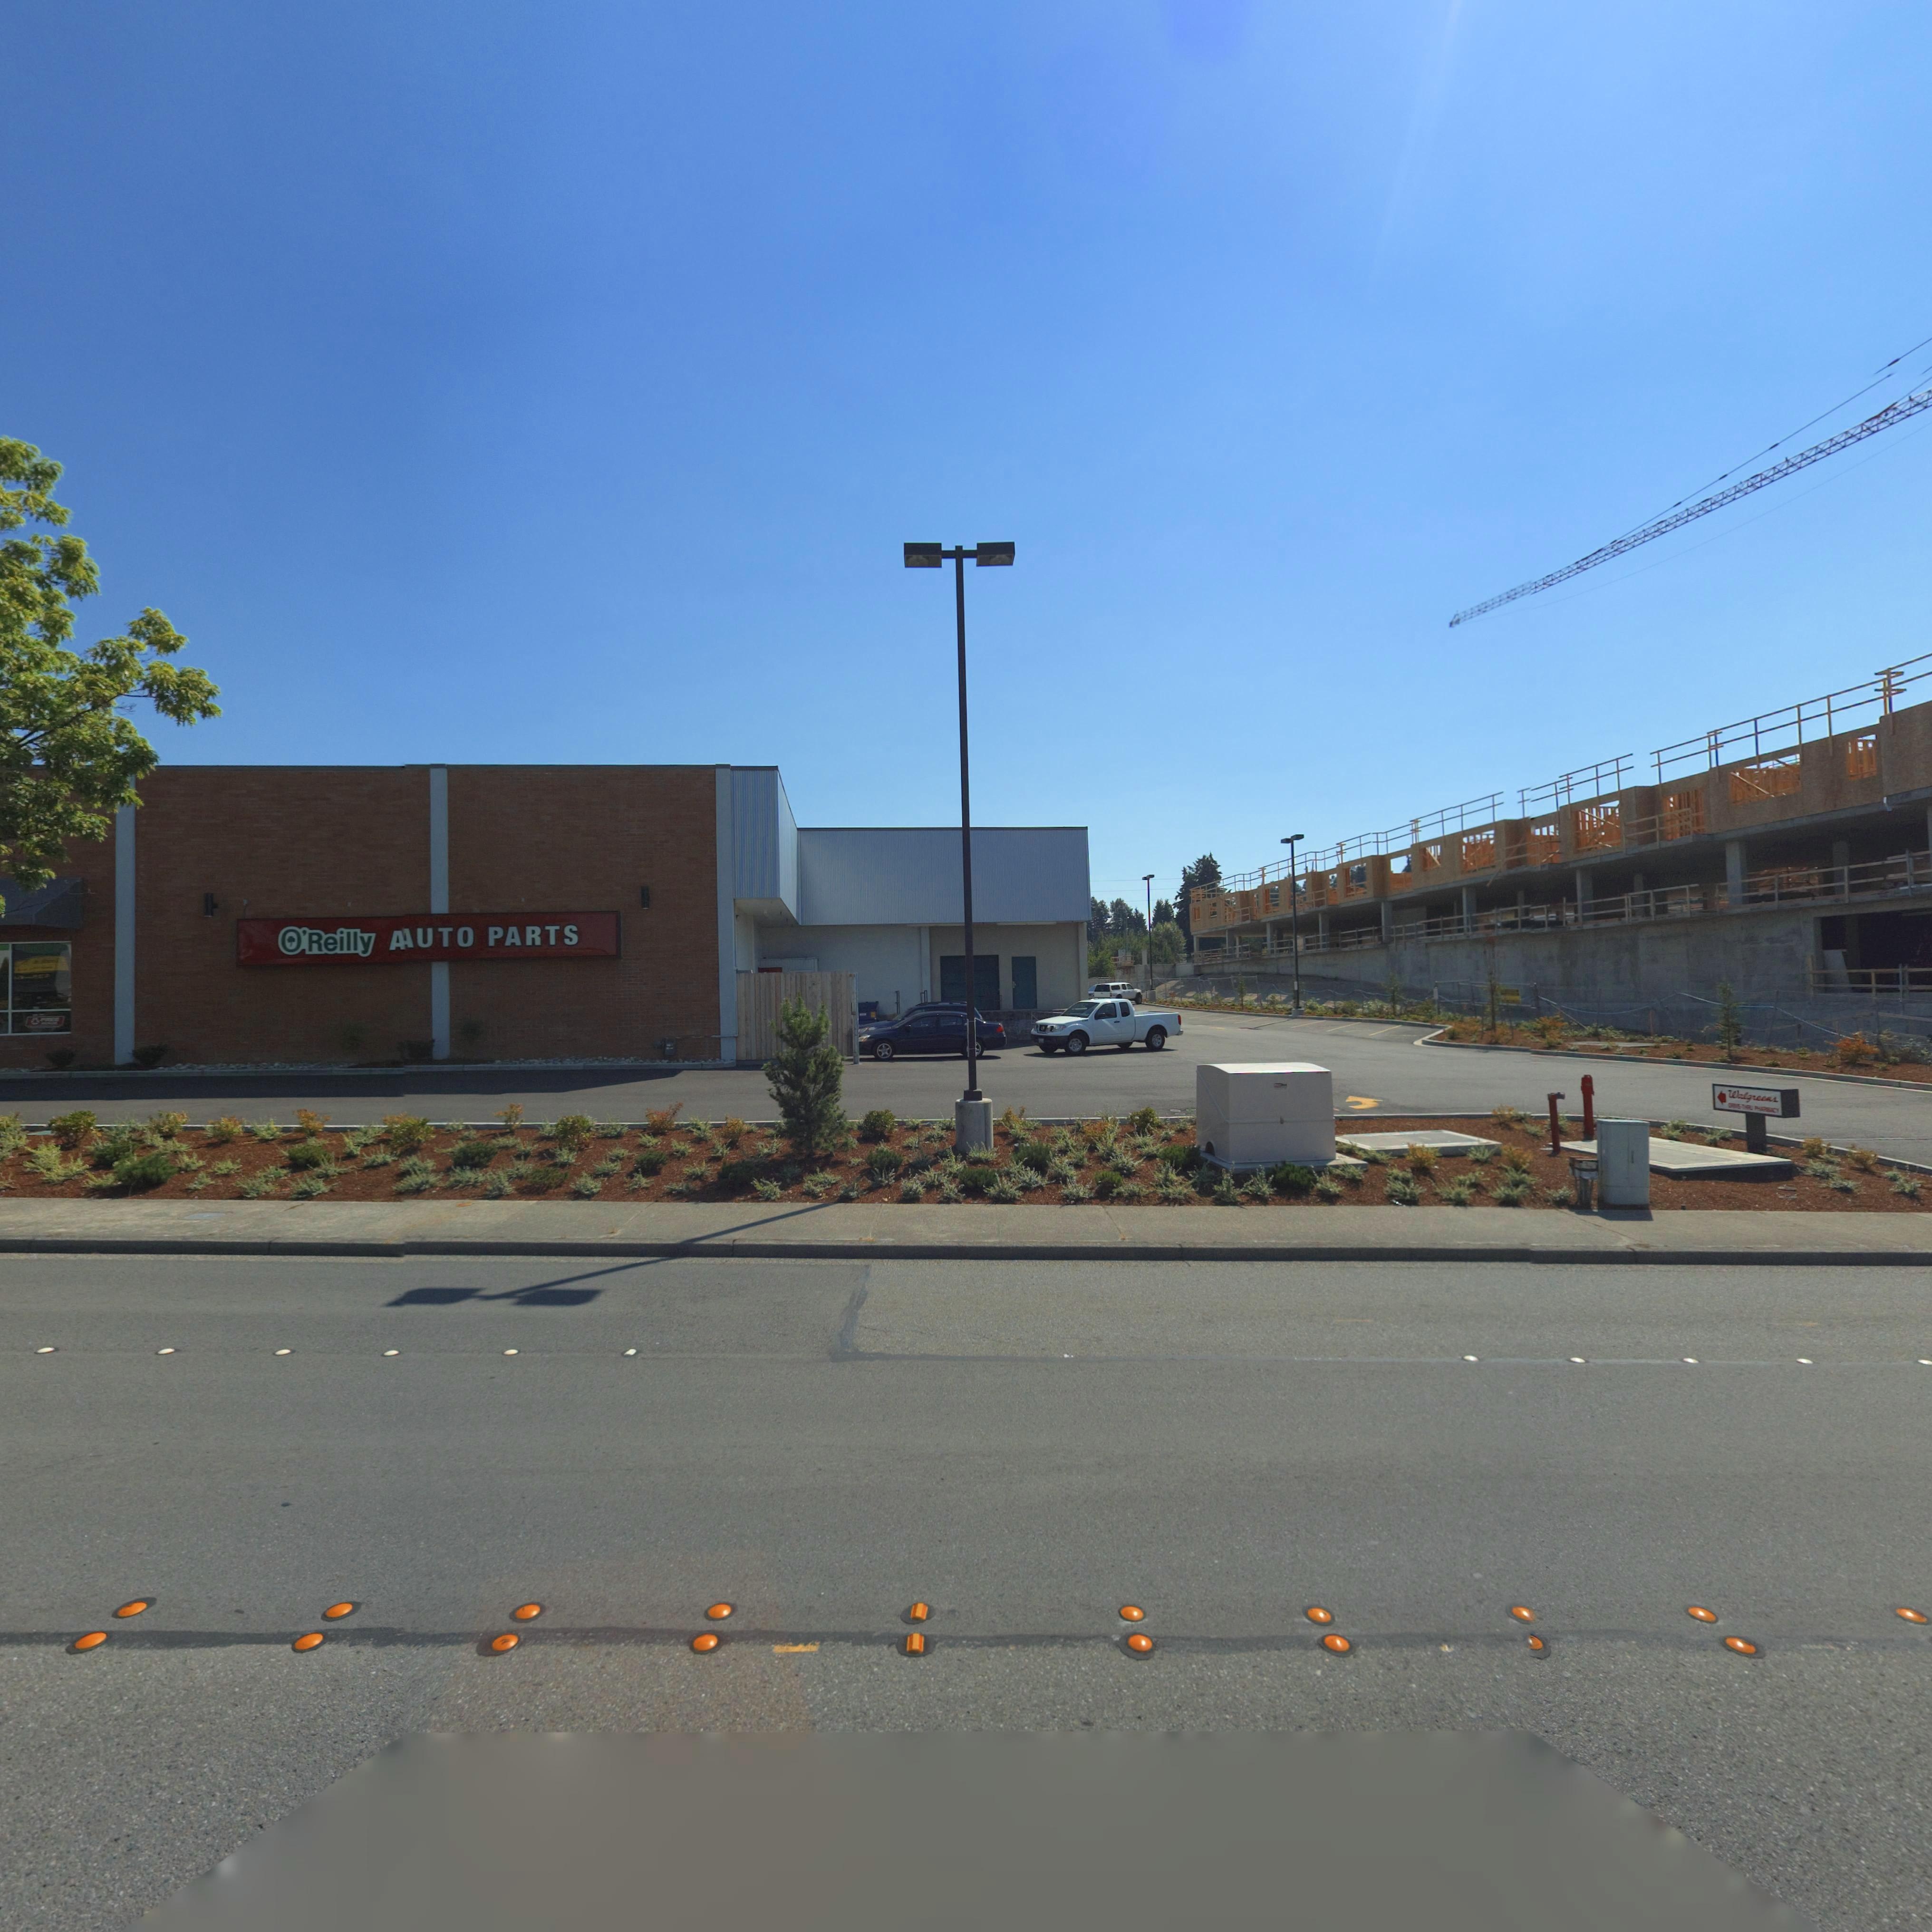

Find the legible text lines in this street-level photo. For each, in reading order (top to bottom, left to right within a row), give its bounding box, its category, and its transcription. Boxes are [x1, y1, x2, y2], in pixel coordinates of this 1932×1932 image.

[275, 924, 386, 959] BusinessName: O'Reilly
[389, 925, 577, 949] BusinessName: AUTO PARTS
[1727, 1088, 1778, 1106] BusinessName: Walgreens